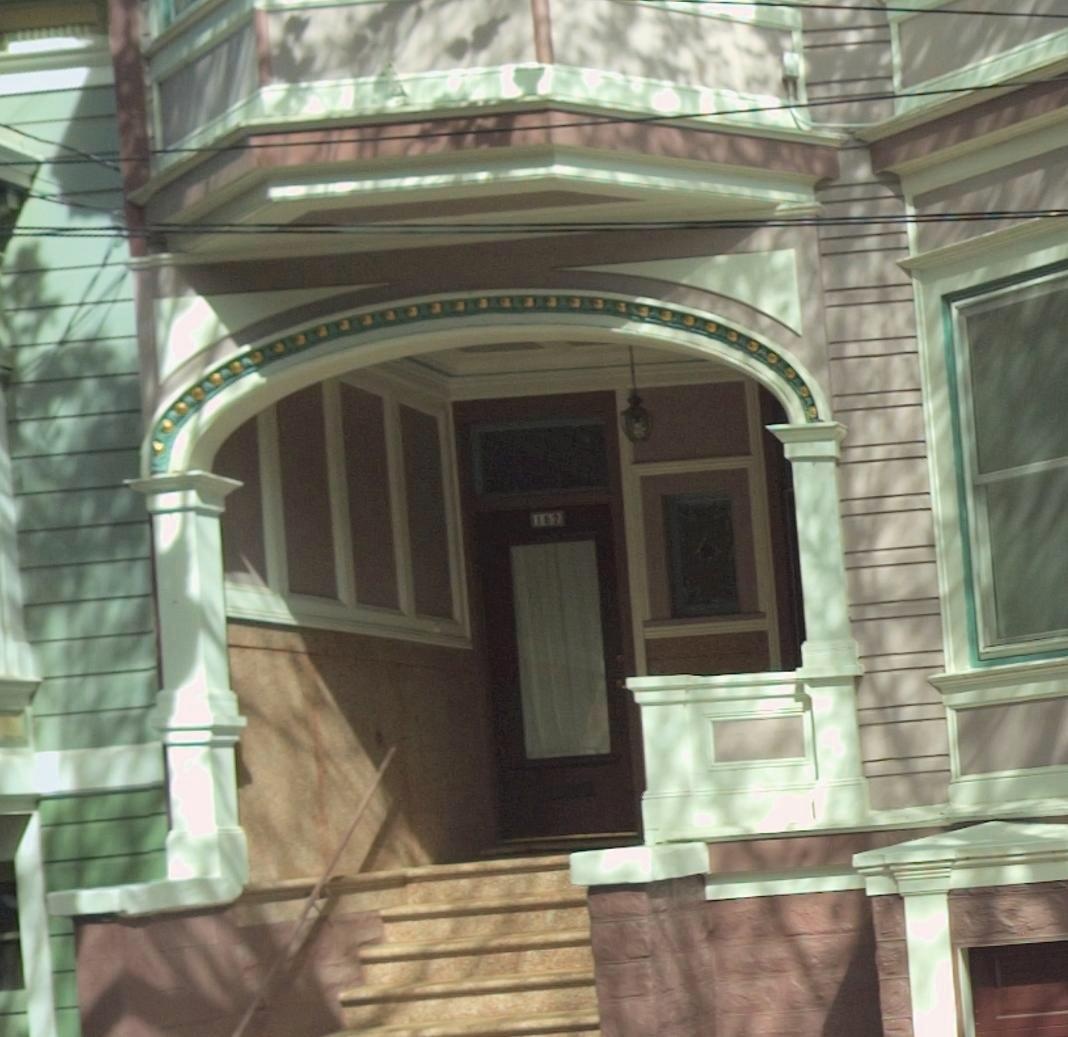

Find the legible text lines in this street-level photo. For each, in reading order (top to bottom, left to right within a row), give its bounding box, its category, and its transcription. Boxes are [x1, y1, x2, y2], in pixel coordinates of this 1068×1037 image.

[532, 512, 562, 527] StreetNumber: 157